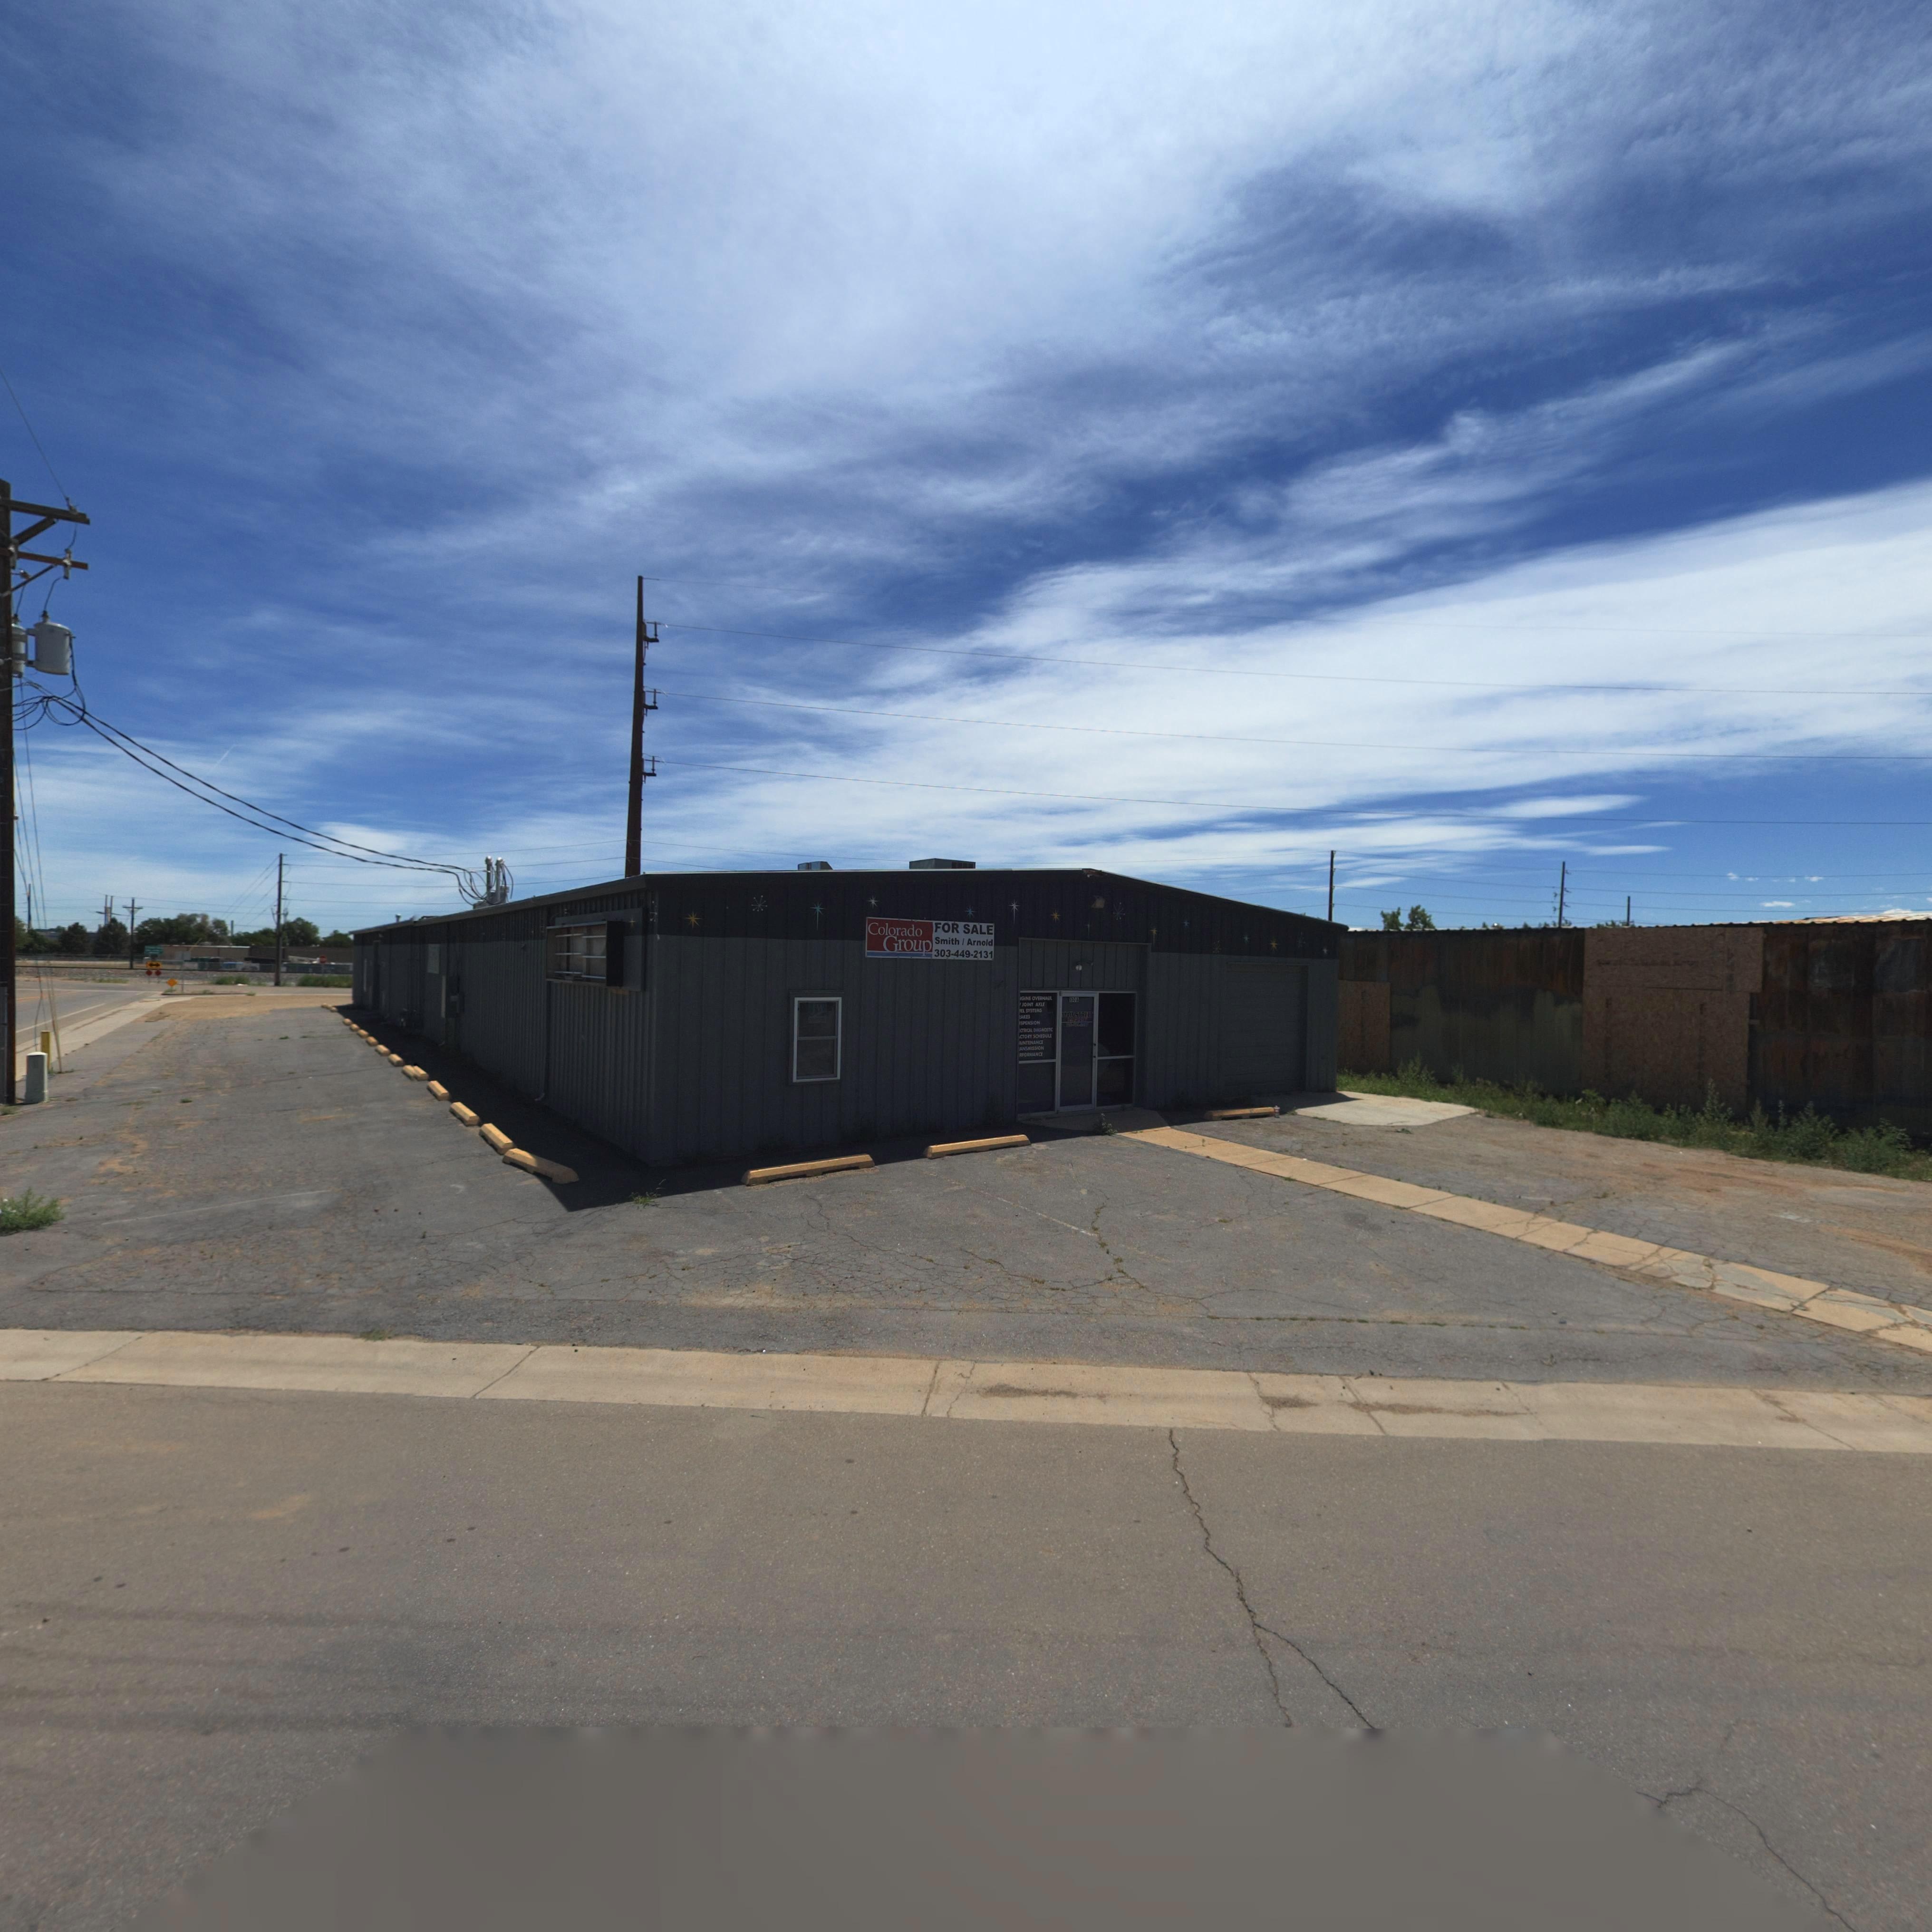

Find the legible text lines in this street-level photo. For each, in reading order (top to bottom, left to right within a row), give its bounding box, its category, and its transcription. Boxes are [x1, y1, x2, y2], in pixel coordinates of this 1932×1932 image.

[1069, 996, 1078, 1002] StreetNumber: 100*
[1062, 1011, 1093, 1018] BusinessName: MAINSTREET